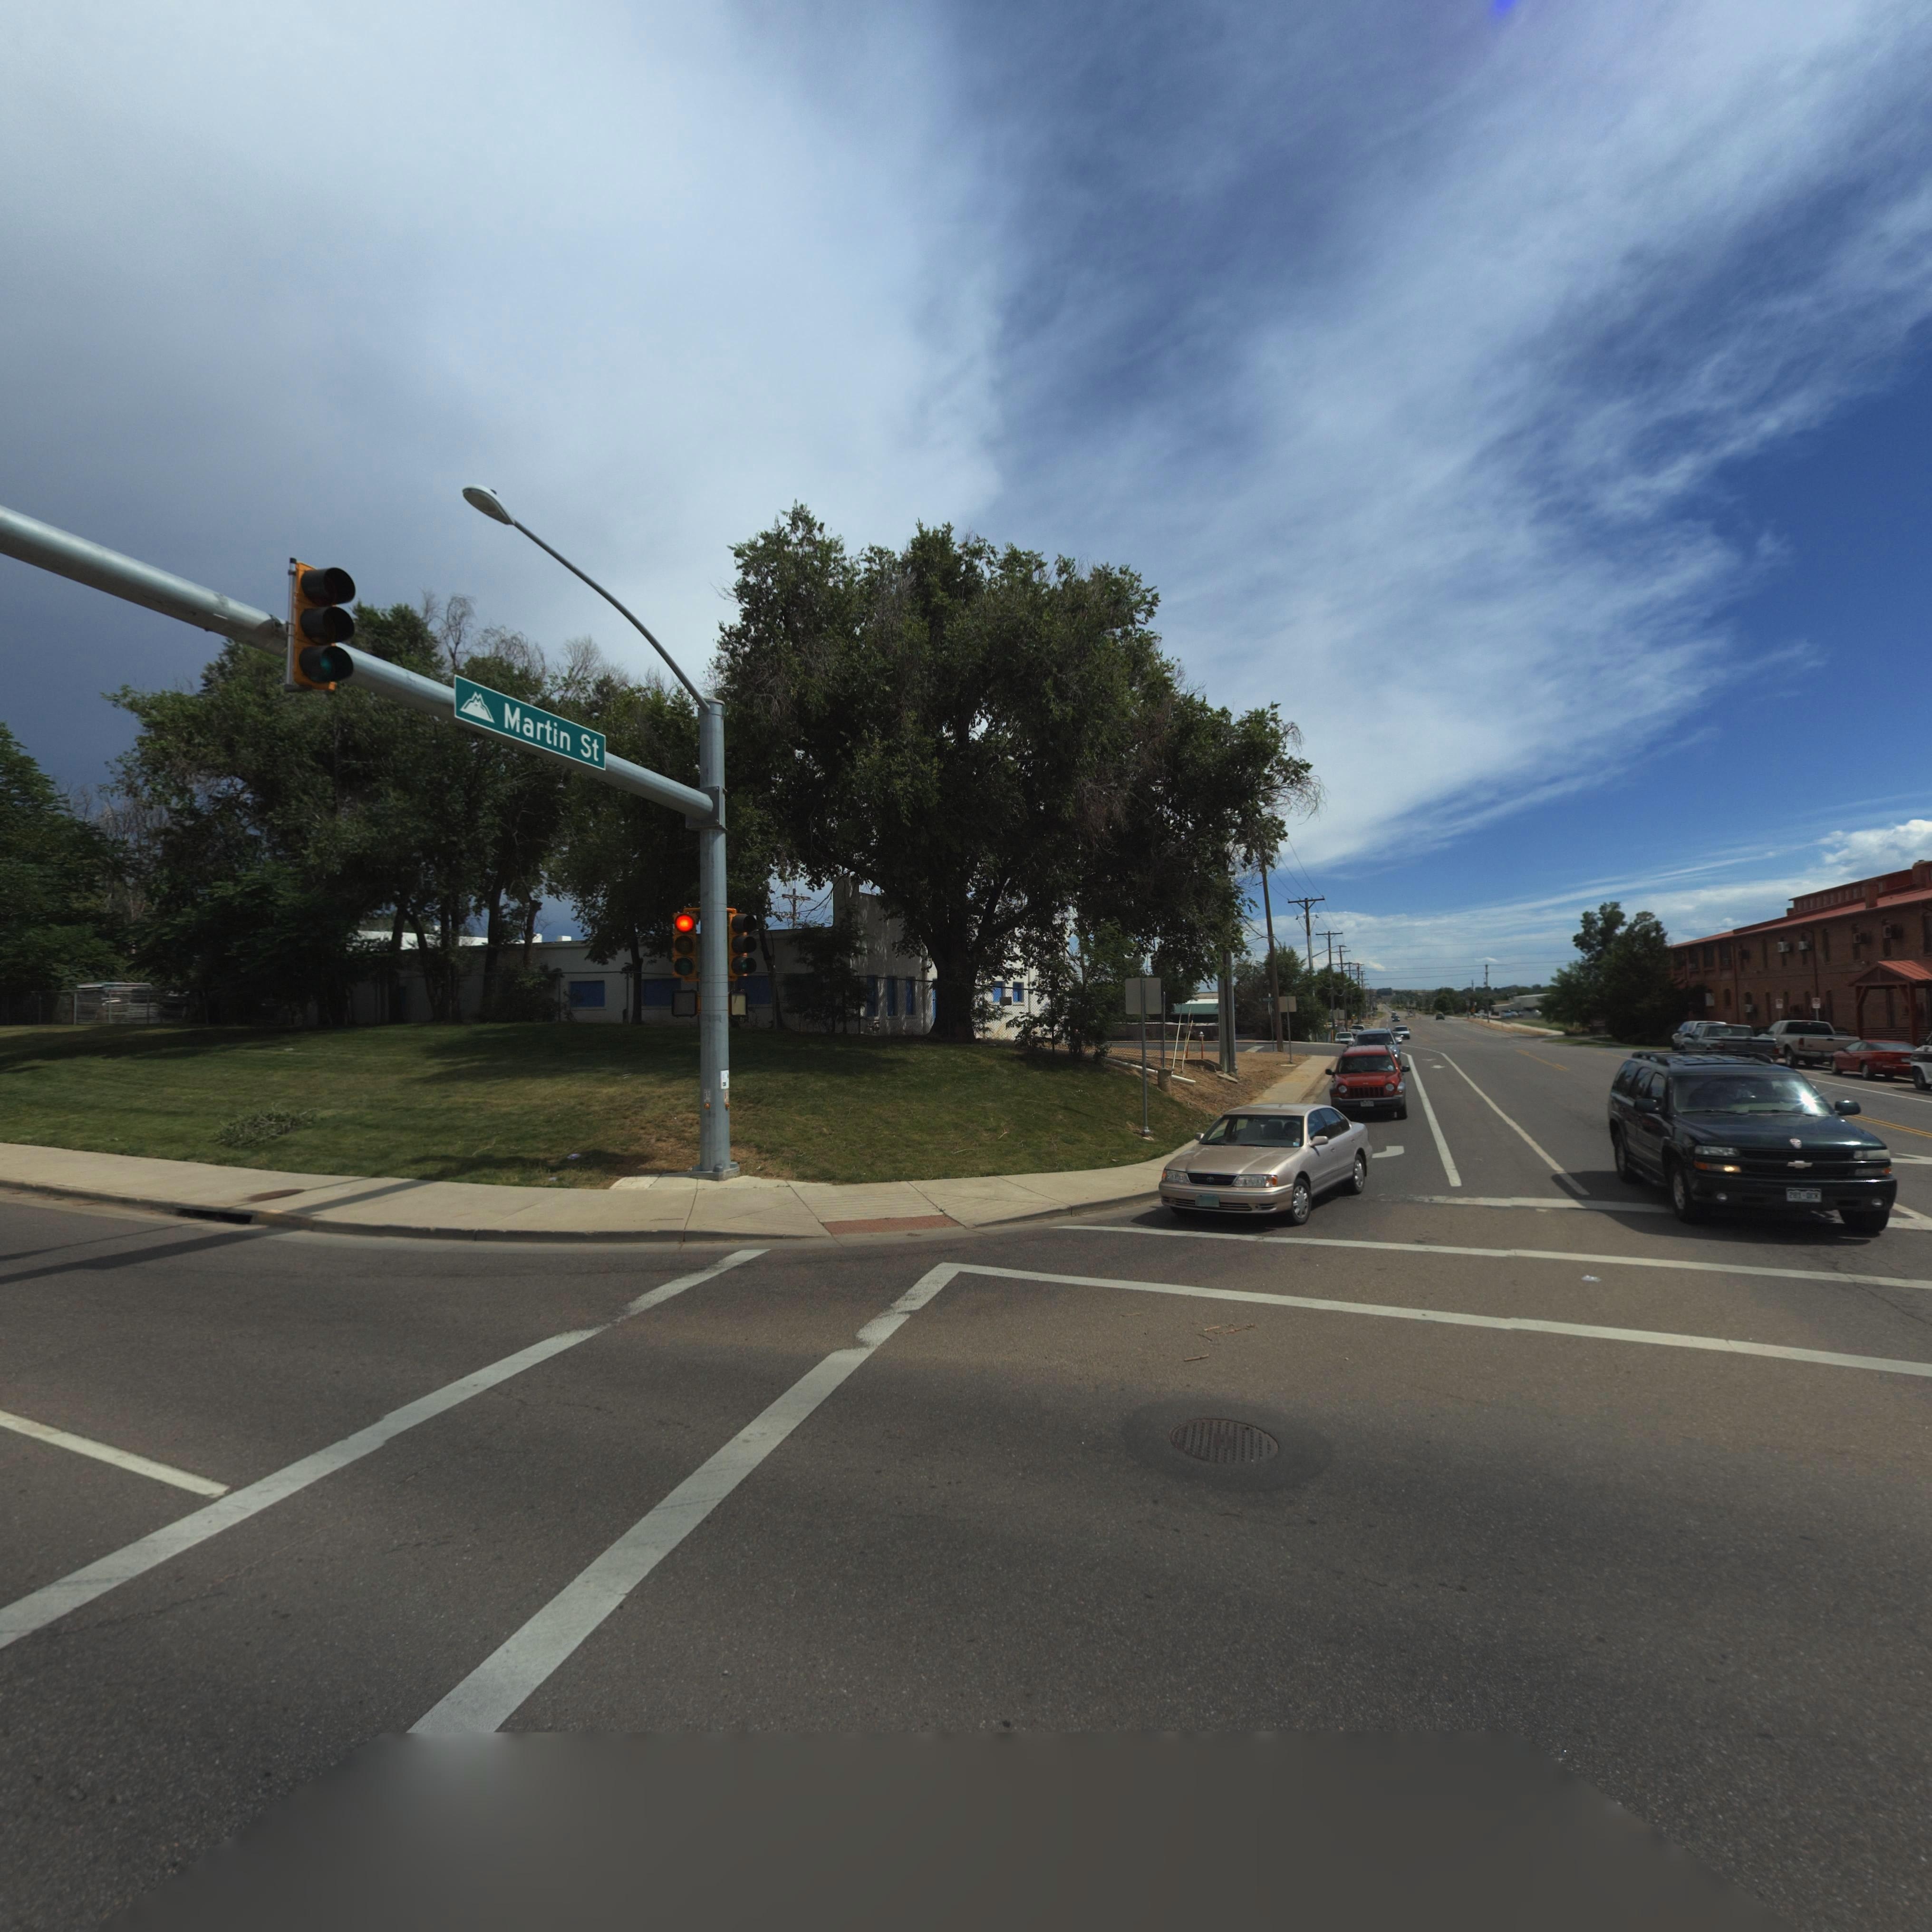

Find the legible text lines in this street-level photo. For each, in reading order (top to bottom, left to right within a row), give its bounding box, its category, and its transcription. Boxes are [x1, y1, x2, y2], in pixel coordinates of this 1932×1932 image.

[505, 702, 598, 762] StreetName: Martin St